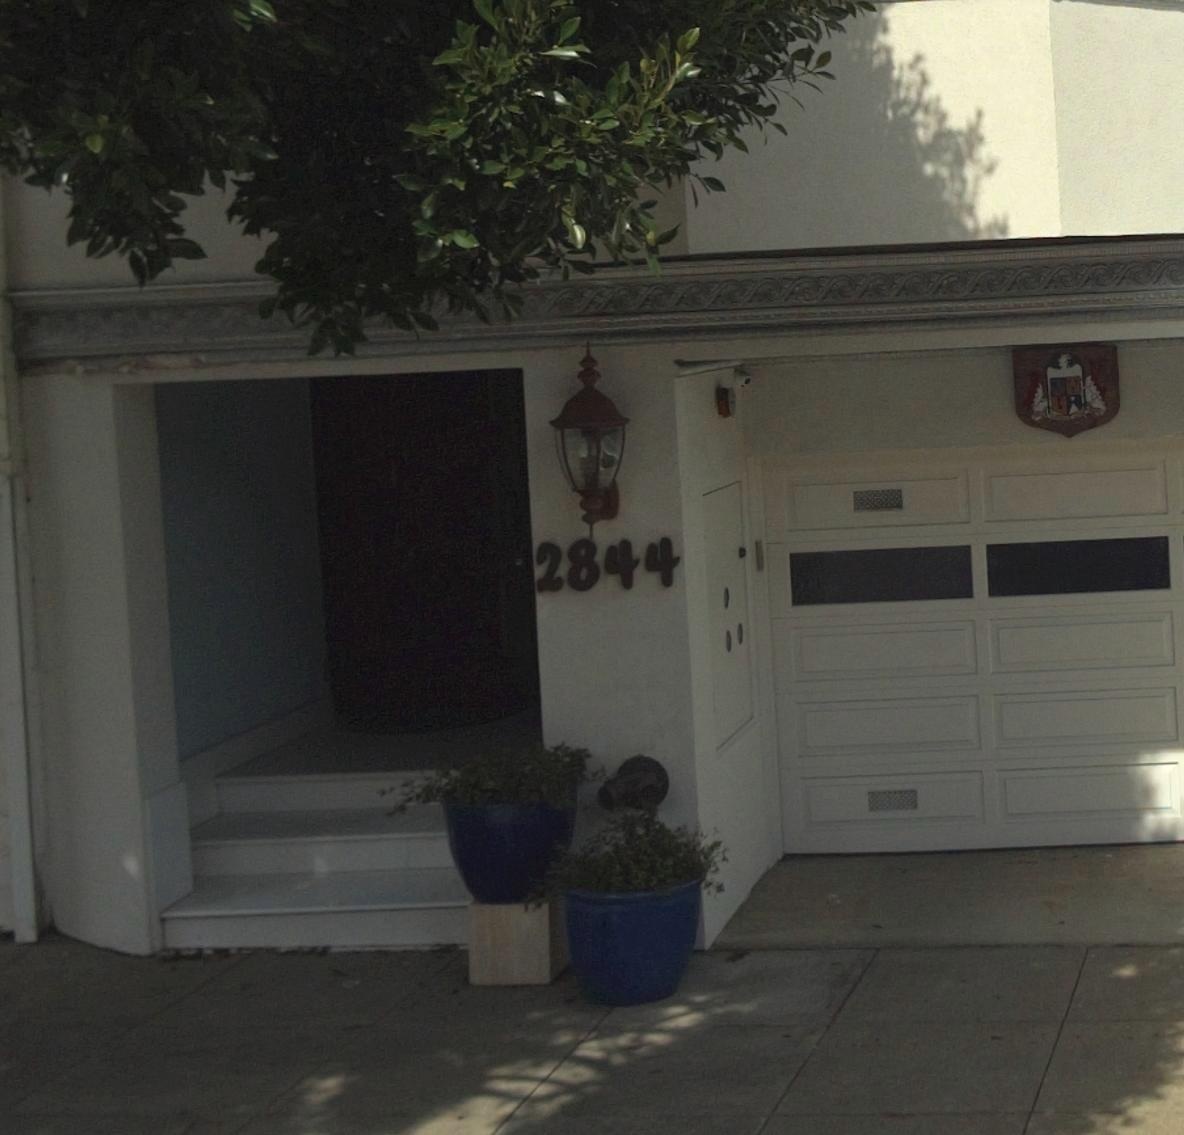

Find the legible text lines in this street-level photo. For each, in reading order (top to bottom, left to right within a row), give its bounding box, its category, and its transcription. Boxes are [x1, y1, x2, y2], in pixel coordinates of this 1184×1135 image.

[534, 535, 682, 595] StreetNumber: 2844